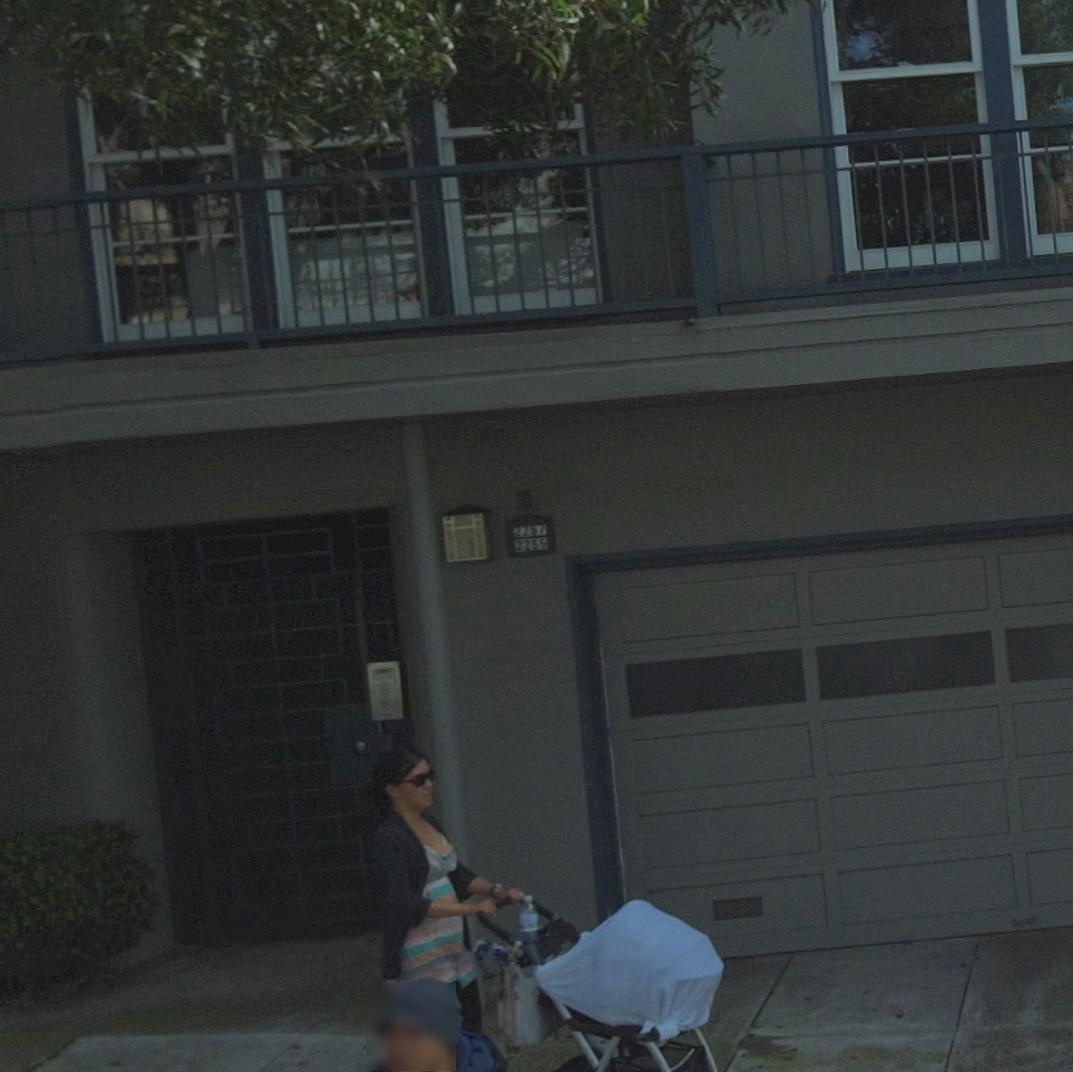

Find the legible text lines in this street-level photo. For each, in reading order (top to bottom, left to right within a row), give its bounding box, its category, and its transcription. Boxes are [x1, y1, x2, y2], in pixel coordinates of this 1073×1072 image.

[513, 521, 549, 540] StreetNumber: 2257
[512, 535, 551, 555] StreetNumber: 2255